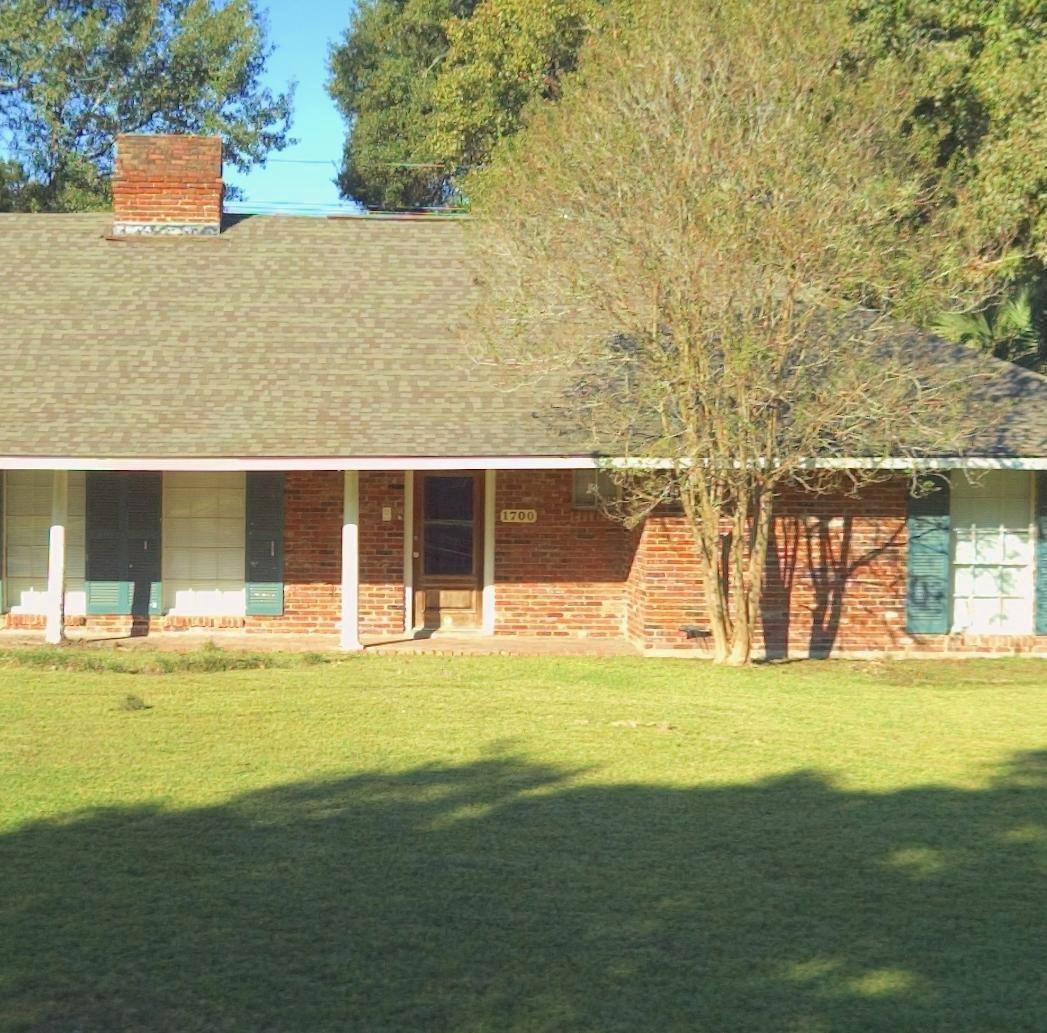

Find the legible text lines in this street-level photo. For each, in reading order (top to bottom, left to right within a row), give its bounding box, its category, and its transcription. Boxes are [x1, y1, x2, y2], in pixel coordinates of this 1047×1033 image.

[501, 509, 536, 523] StreetNumber: 1700